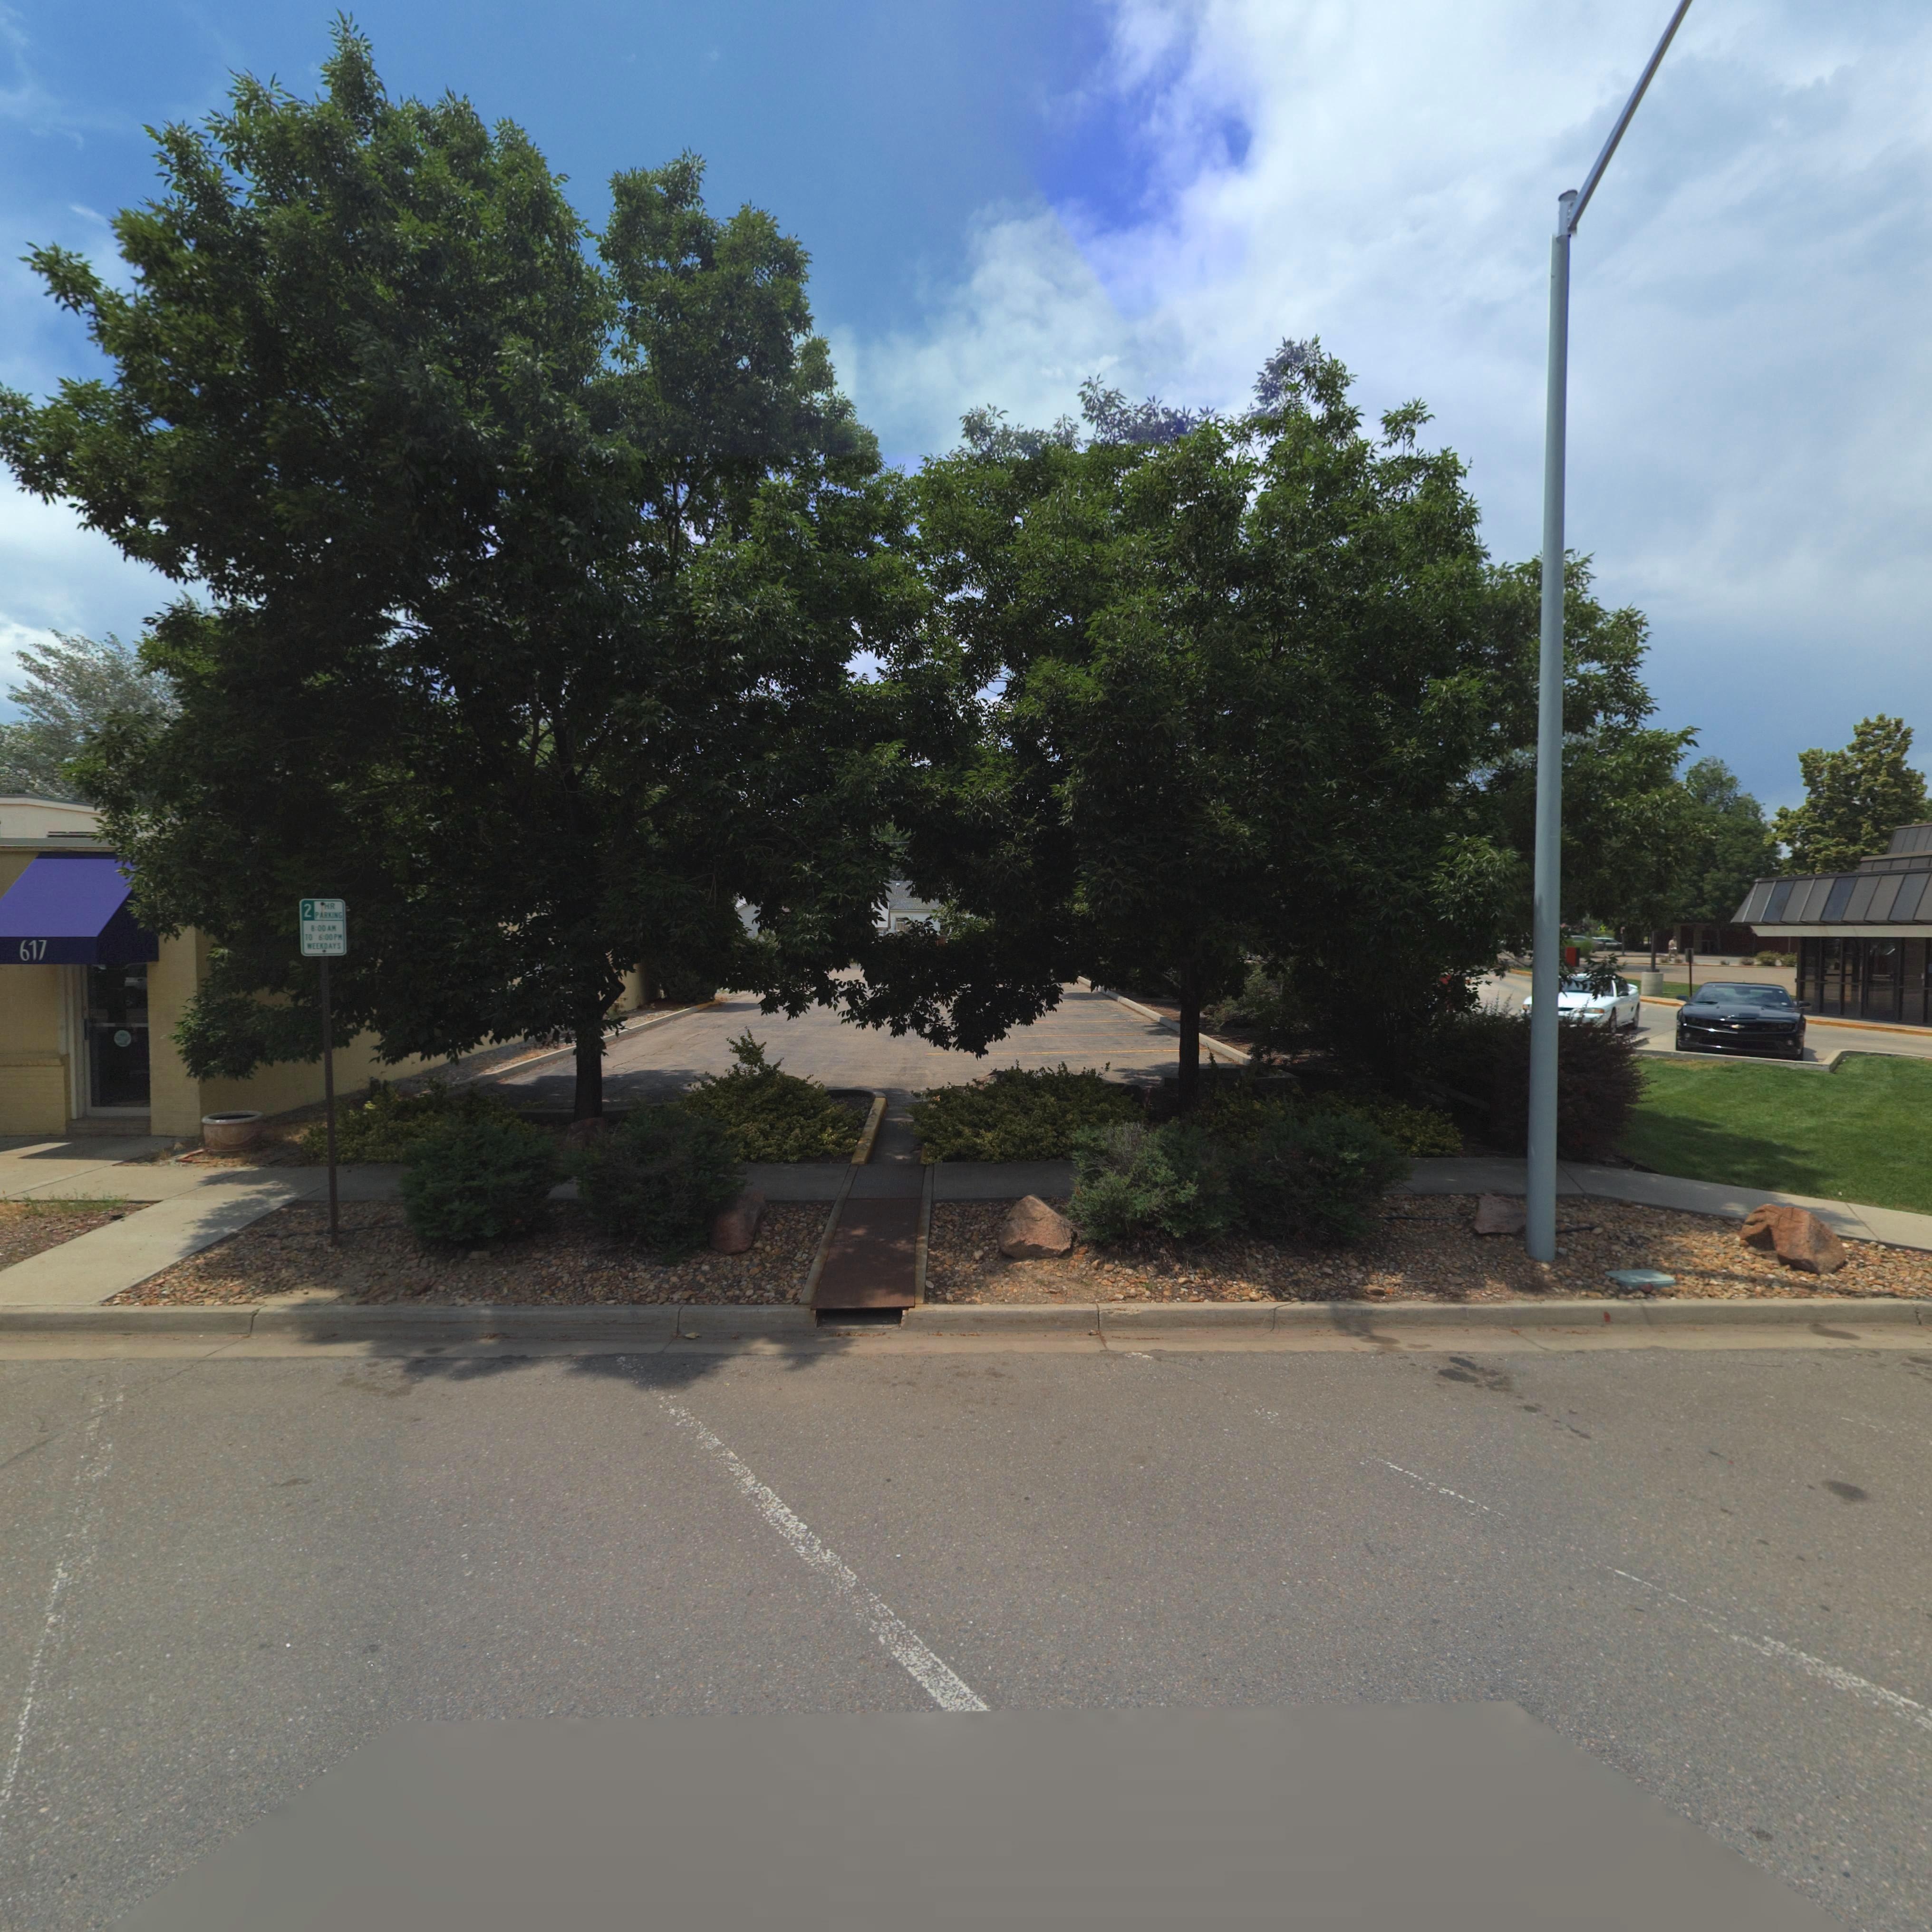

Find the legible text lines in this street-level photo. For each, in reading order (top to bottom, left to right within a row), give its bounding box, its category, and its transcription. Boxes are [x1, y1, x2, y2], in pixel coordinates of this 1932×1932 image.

[18, 939, 47, 962] StreetNumber: 617